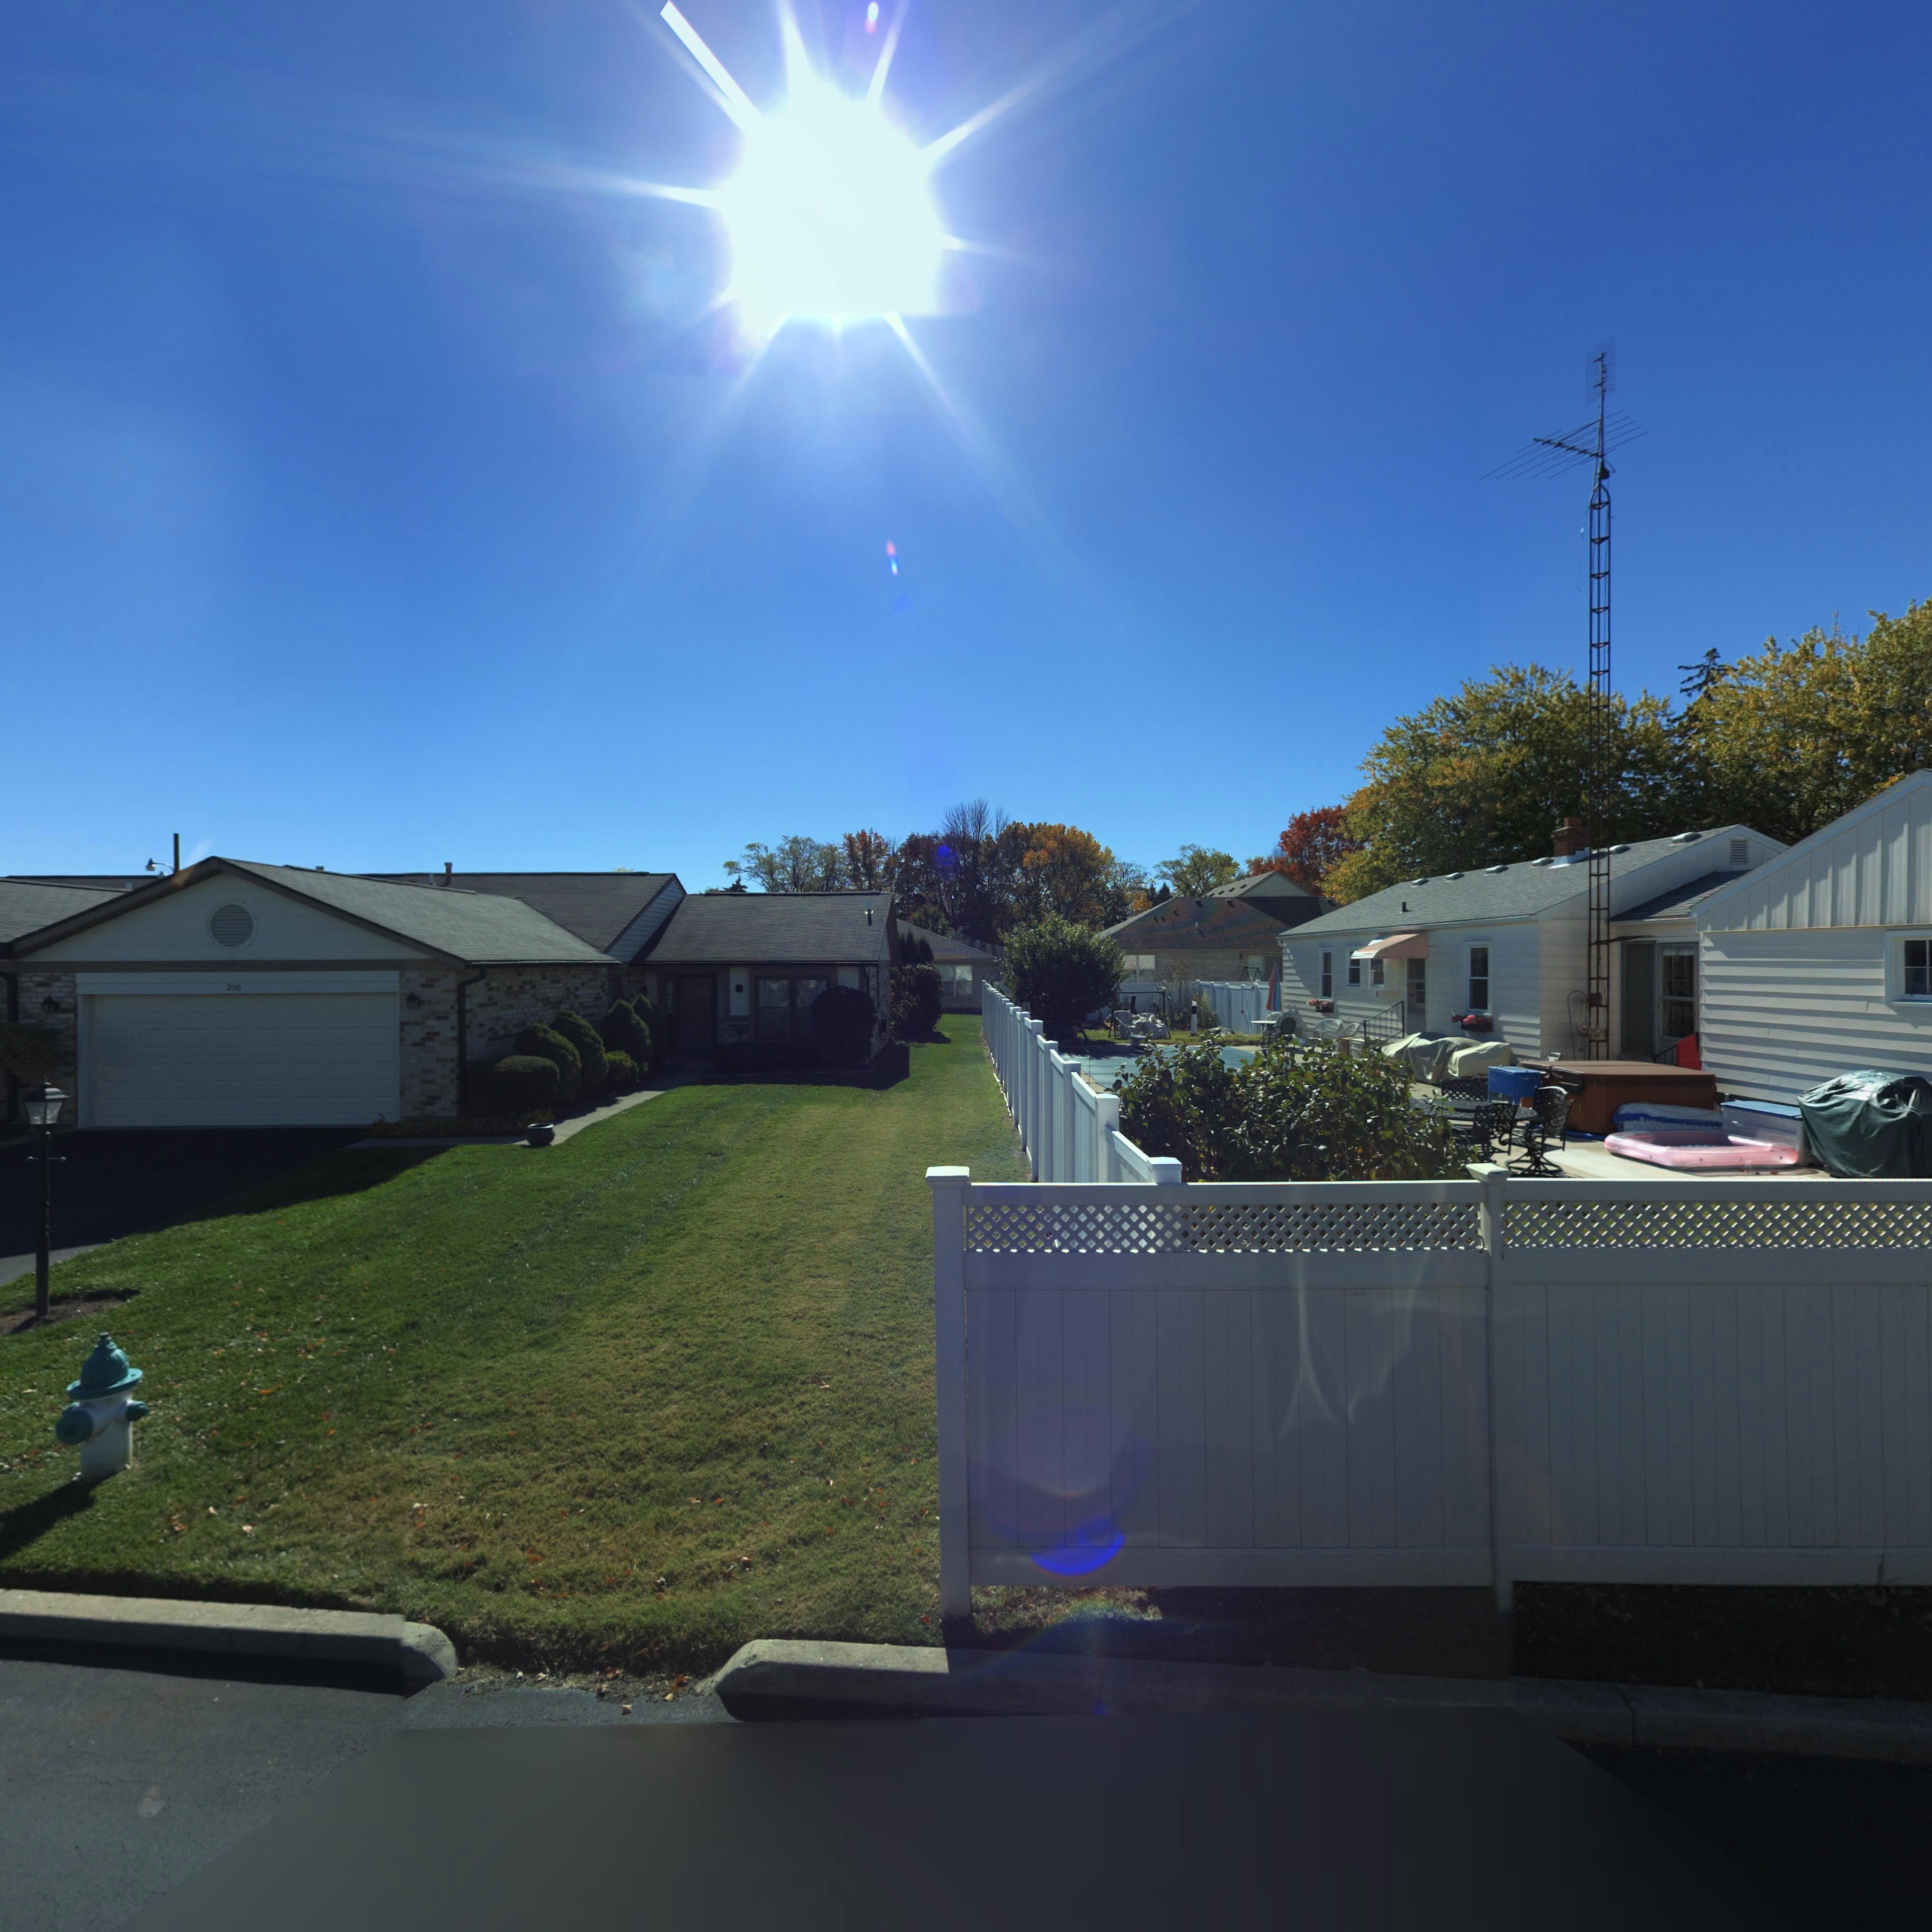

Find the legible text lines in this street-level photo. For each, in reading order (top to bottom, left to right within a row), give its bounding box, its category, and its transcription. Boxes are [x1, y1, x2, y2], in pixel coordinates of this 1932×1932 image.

[225, 983, 242, 992] StreetNumber: 250